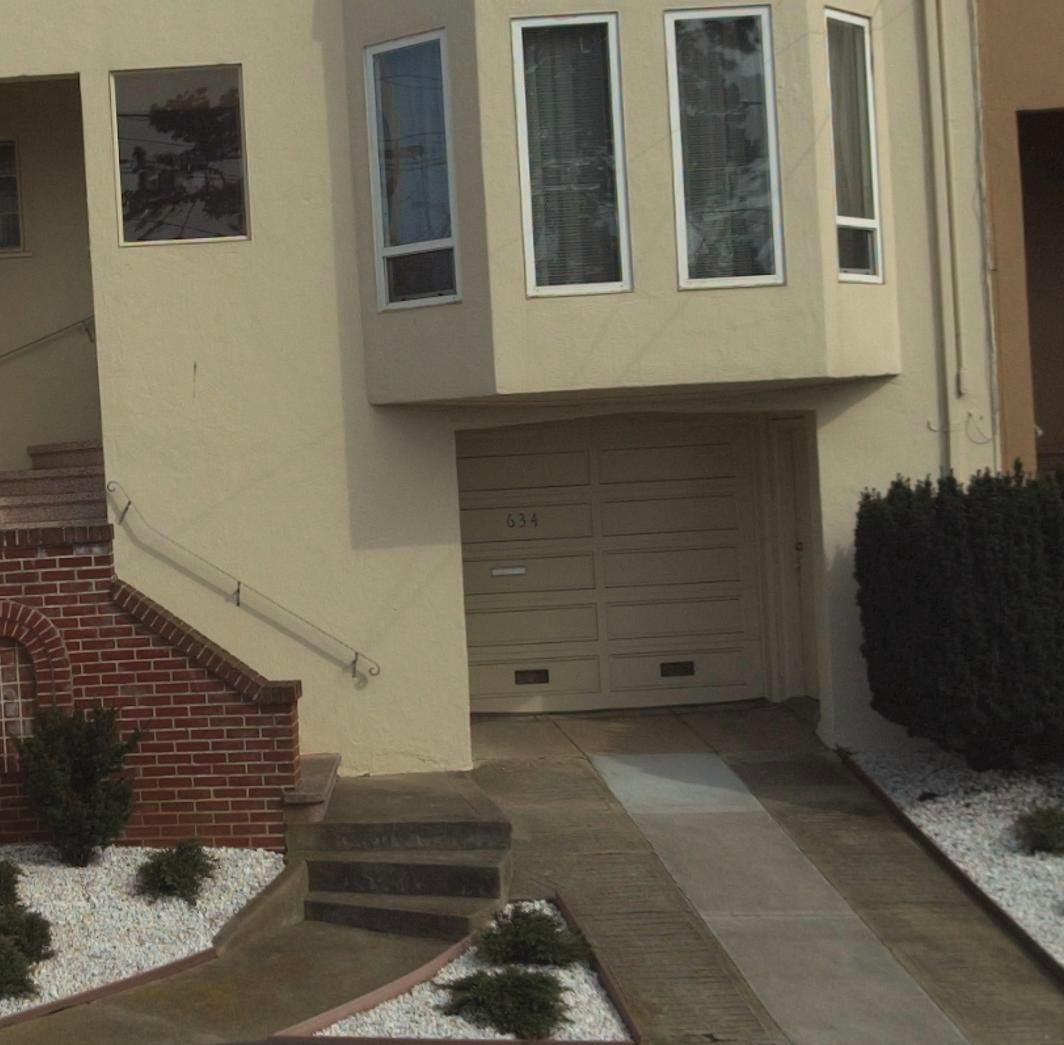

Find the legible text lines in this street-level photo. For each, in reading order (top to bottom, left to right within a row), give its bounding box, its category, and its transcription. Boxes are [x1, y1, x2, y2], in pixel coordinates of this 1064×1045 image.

[505, 511, 540, 529] StreetNumber: 634